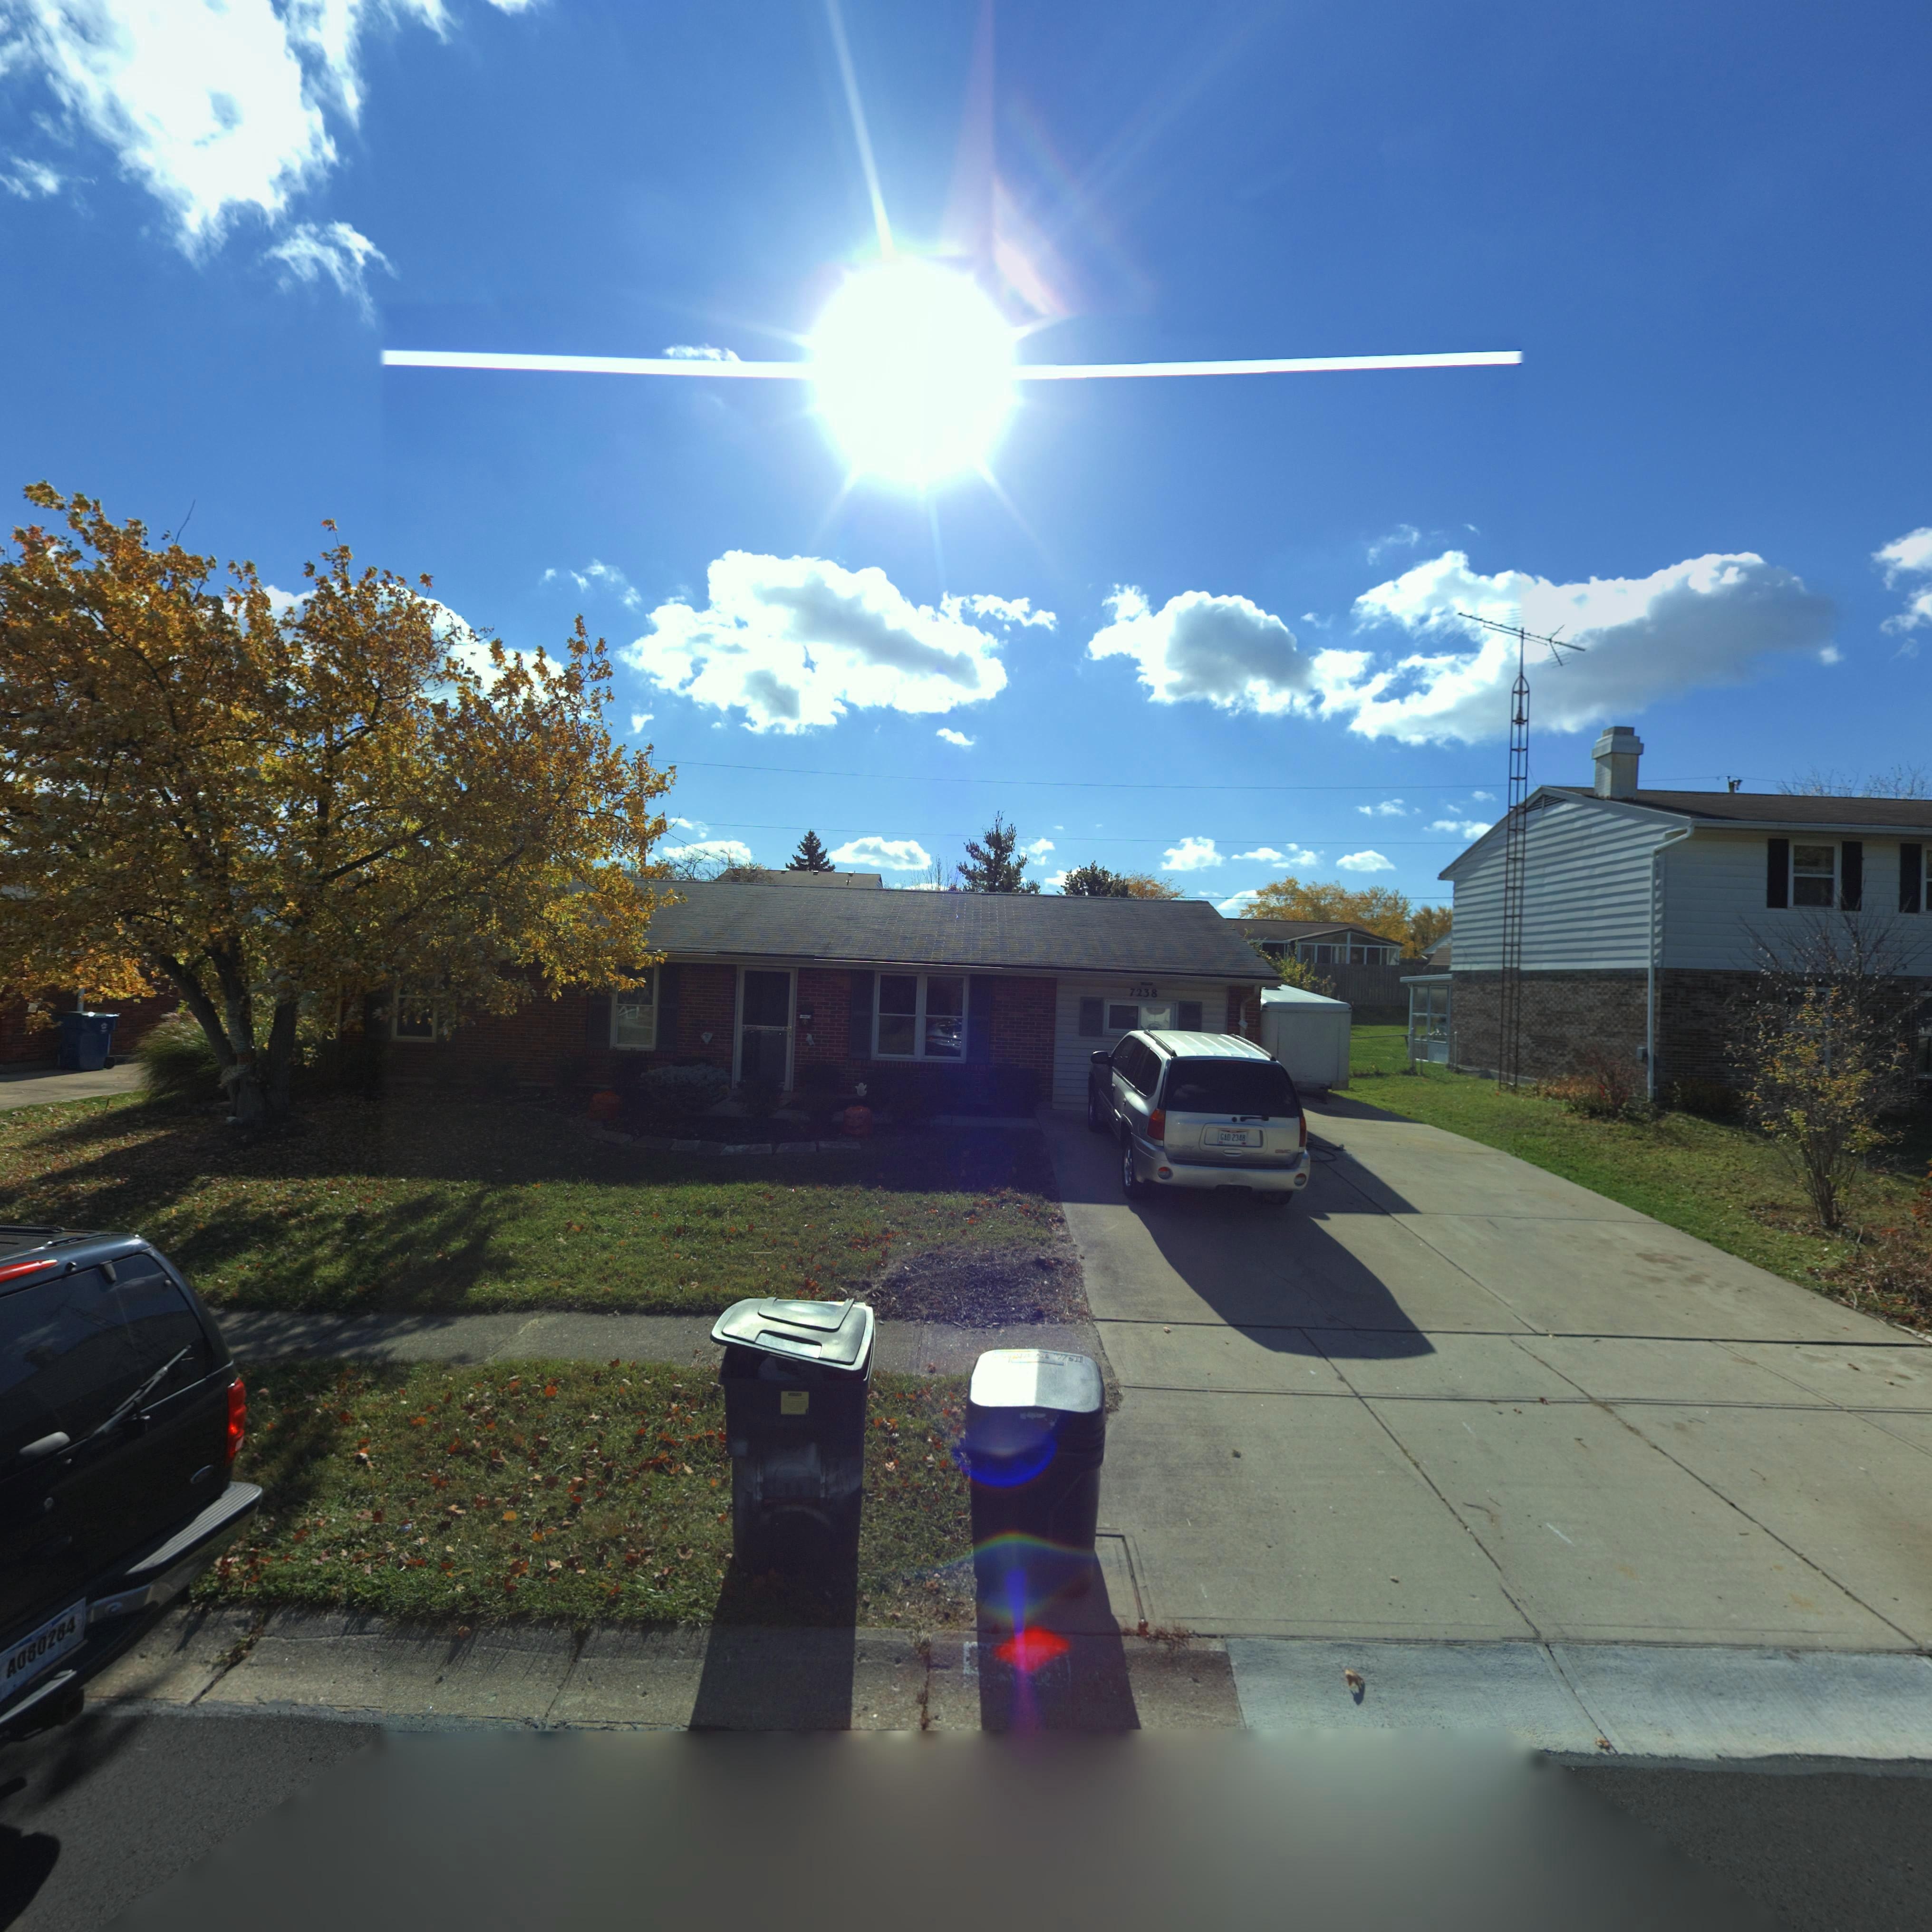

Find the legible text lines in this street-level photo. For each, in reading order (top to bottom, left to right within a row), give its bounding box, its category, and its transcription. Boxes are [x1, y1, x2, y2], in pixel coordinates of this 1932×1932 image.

[1129, 987, 1158, 999] StreetNumber: 7238